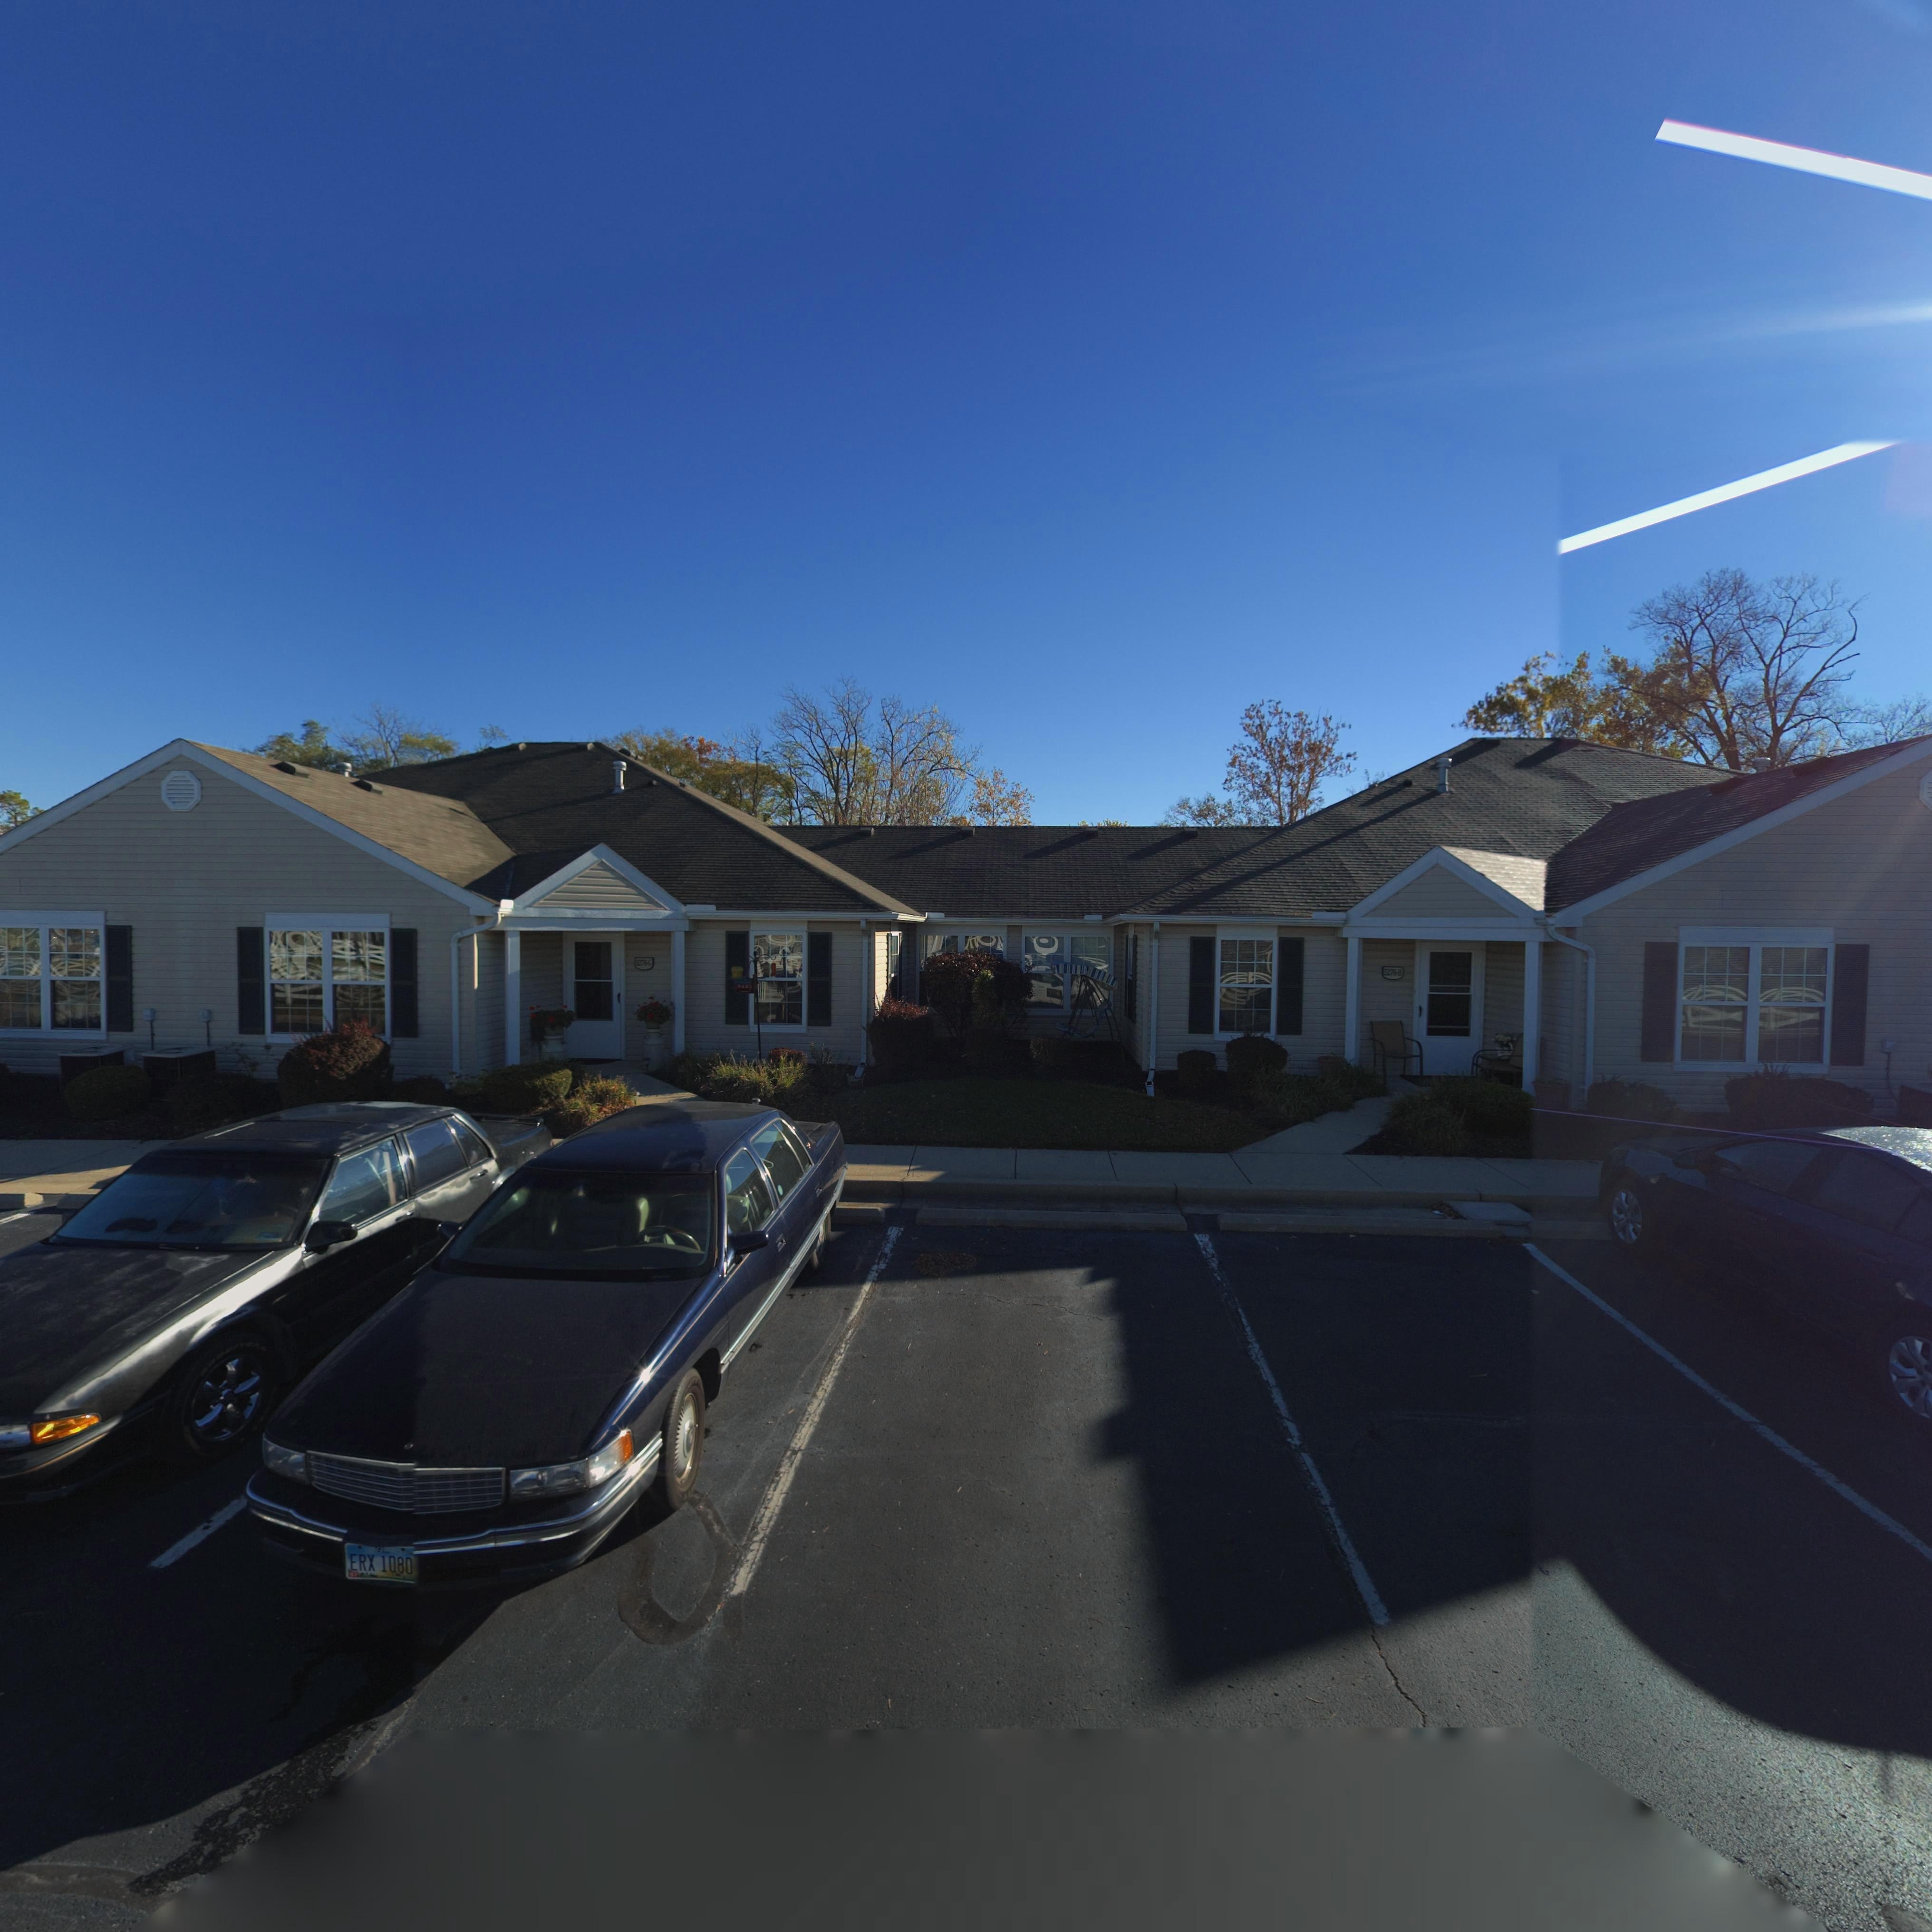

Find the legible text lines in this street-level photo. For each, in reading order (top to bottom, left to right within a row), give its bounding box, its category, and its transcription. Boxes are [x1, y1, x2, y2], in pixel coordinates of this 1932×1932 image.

[635, 958, 652, 967] StreetNumber: 5276-G
[1383, 967, 1402, 977] StreetNumber: 5275-H